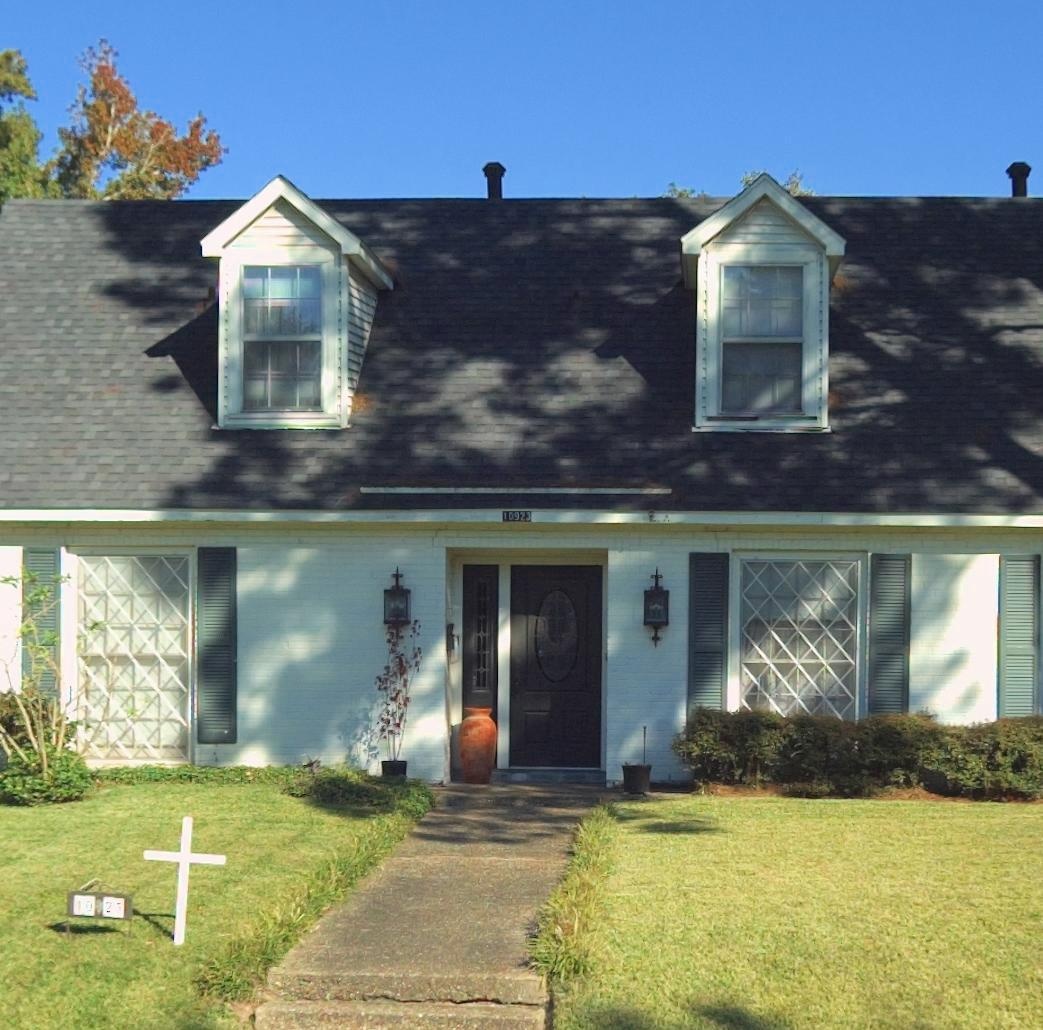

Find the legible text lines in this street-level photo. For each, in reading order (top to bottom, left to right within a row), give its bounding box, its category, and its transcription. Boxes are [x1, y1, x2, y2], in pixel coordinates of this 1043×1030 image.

[502, 510, 532, 523] StreetNumber: 10923
[74, 897, 124, 918] StreetNumber: 1* 2*